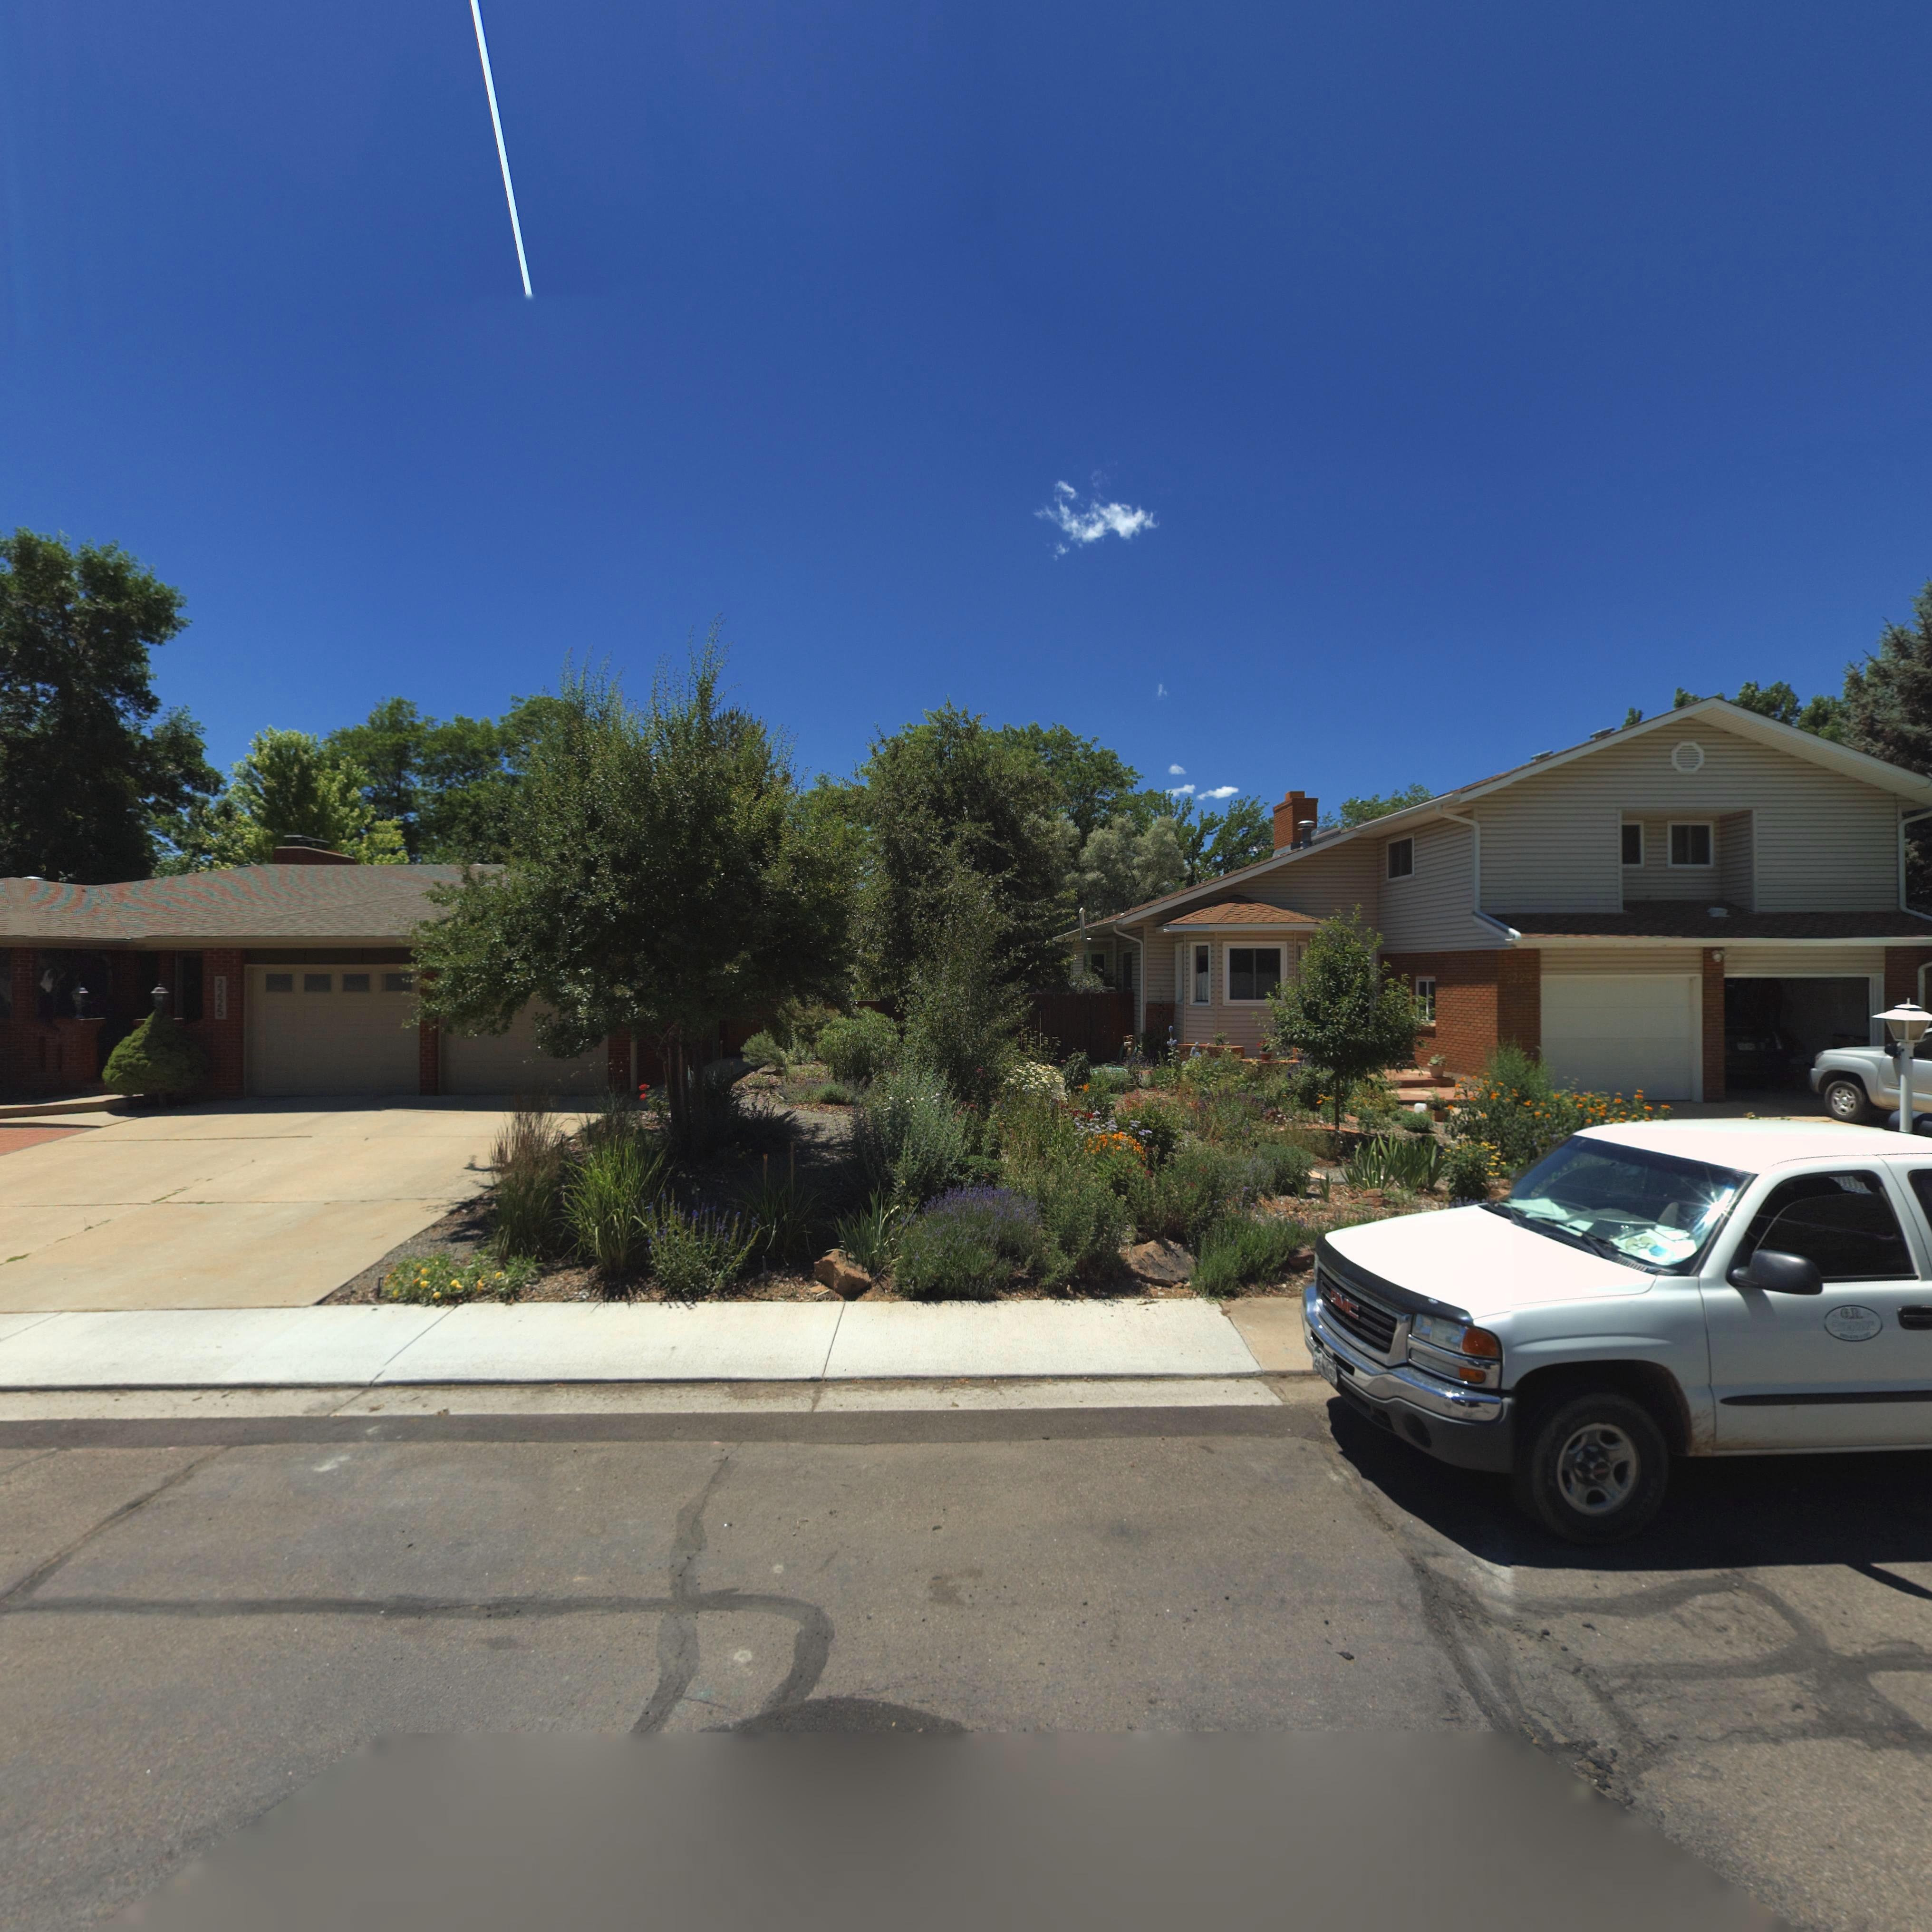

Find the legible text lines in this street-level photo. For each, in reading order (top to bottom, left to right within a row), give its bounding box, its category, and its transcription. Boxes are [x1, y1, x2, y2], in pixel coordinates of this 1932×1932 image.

[216, 978, 223, 1017] StreetNumber: 2225
[1507, 972, 1532, 984] StreetNumber: 2229